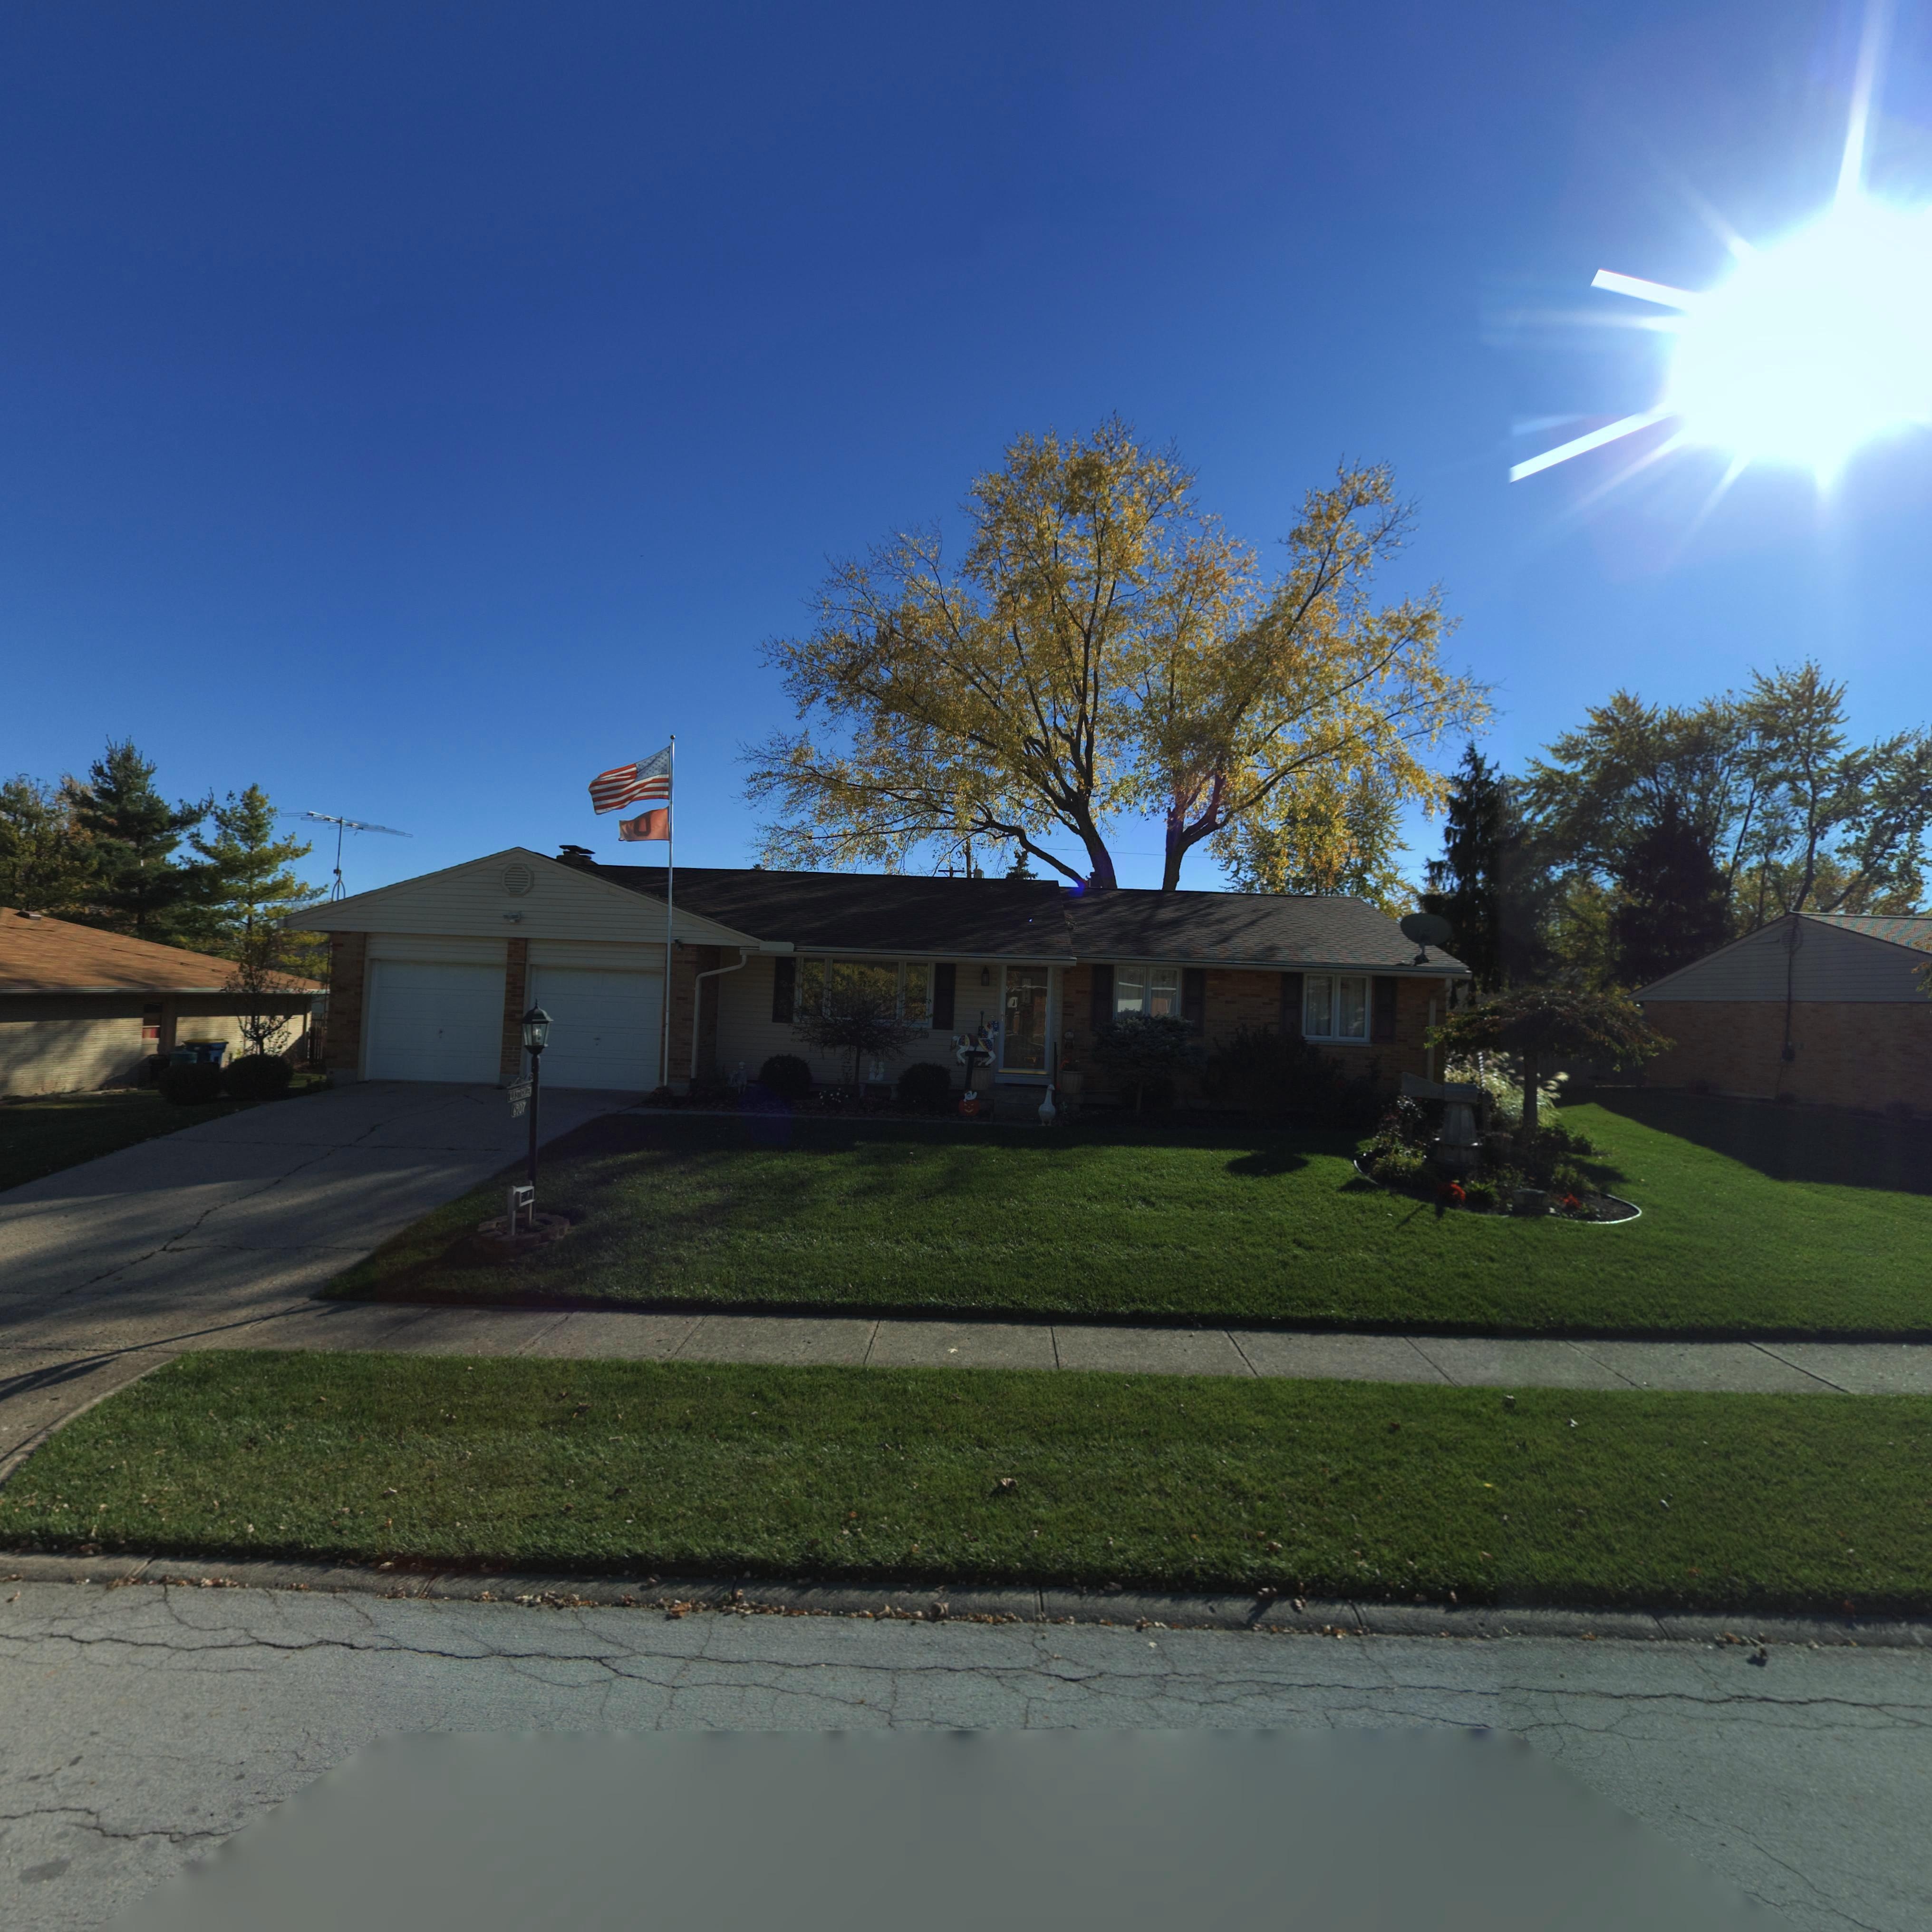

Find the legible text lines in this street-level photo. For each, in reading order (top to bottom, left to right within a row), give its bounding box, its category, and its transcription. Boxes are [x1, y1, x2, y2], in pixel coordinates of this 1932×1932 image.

[512, 1101, 527, 1117] StreetNumber: 6907